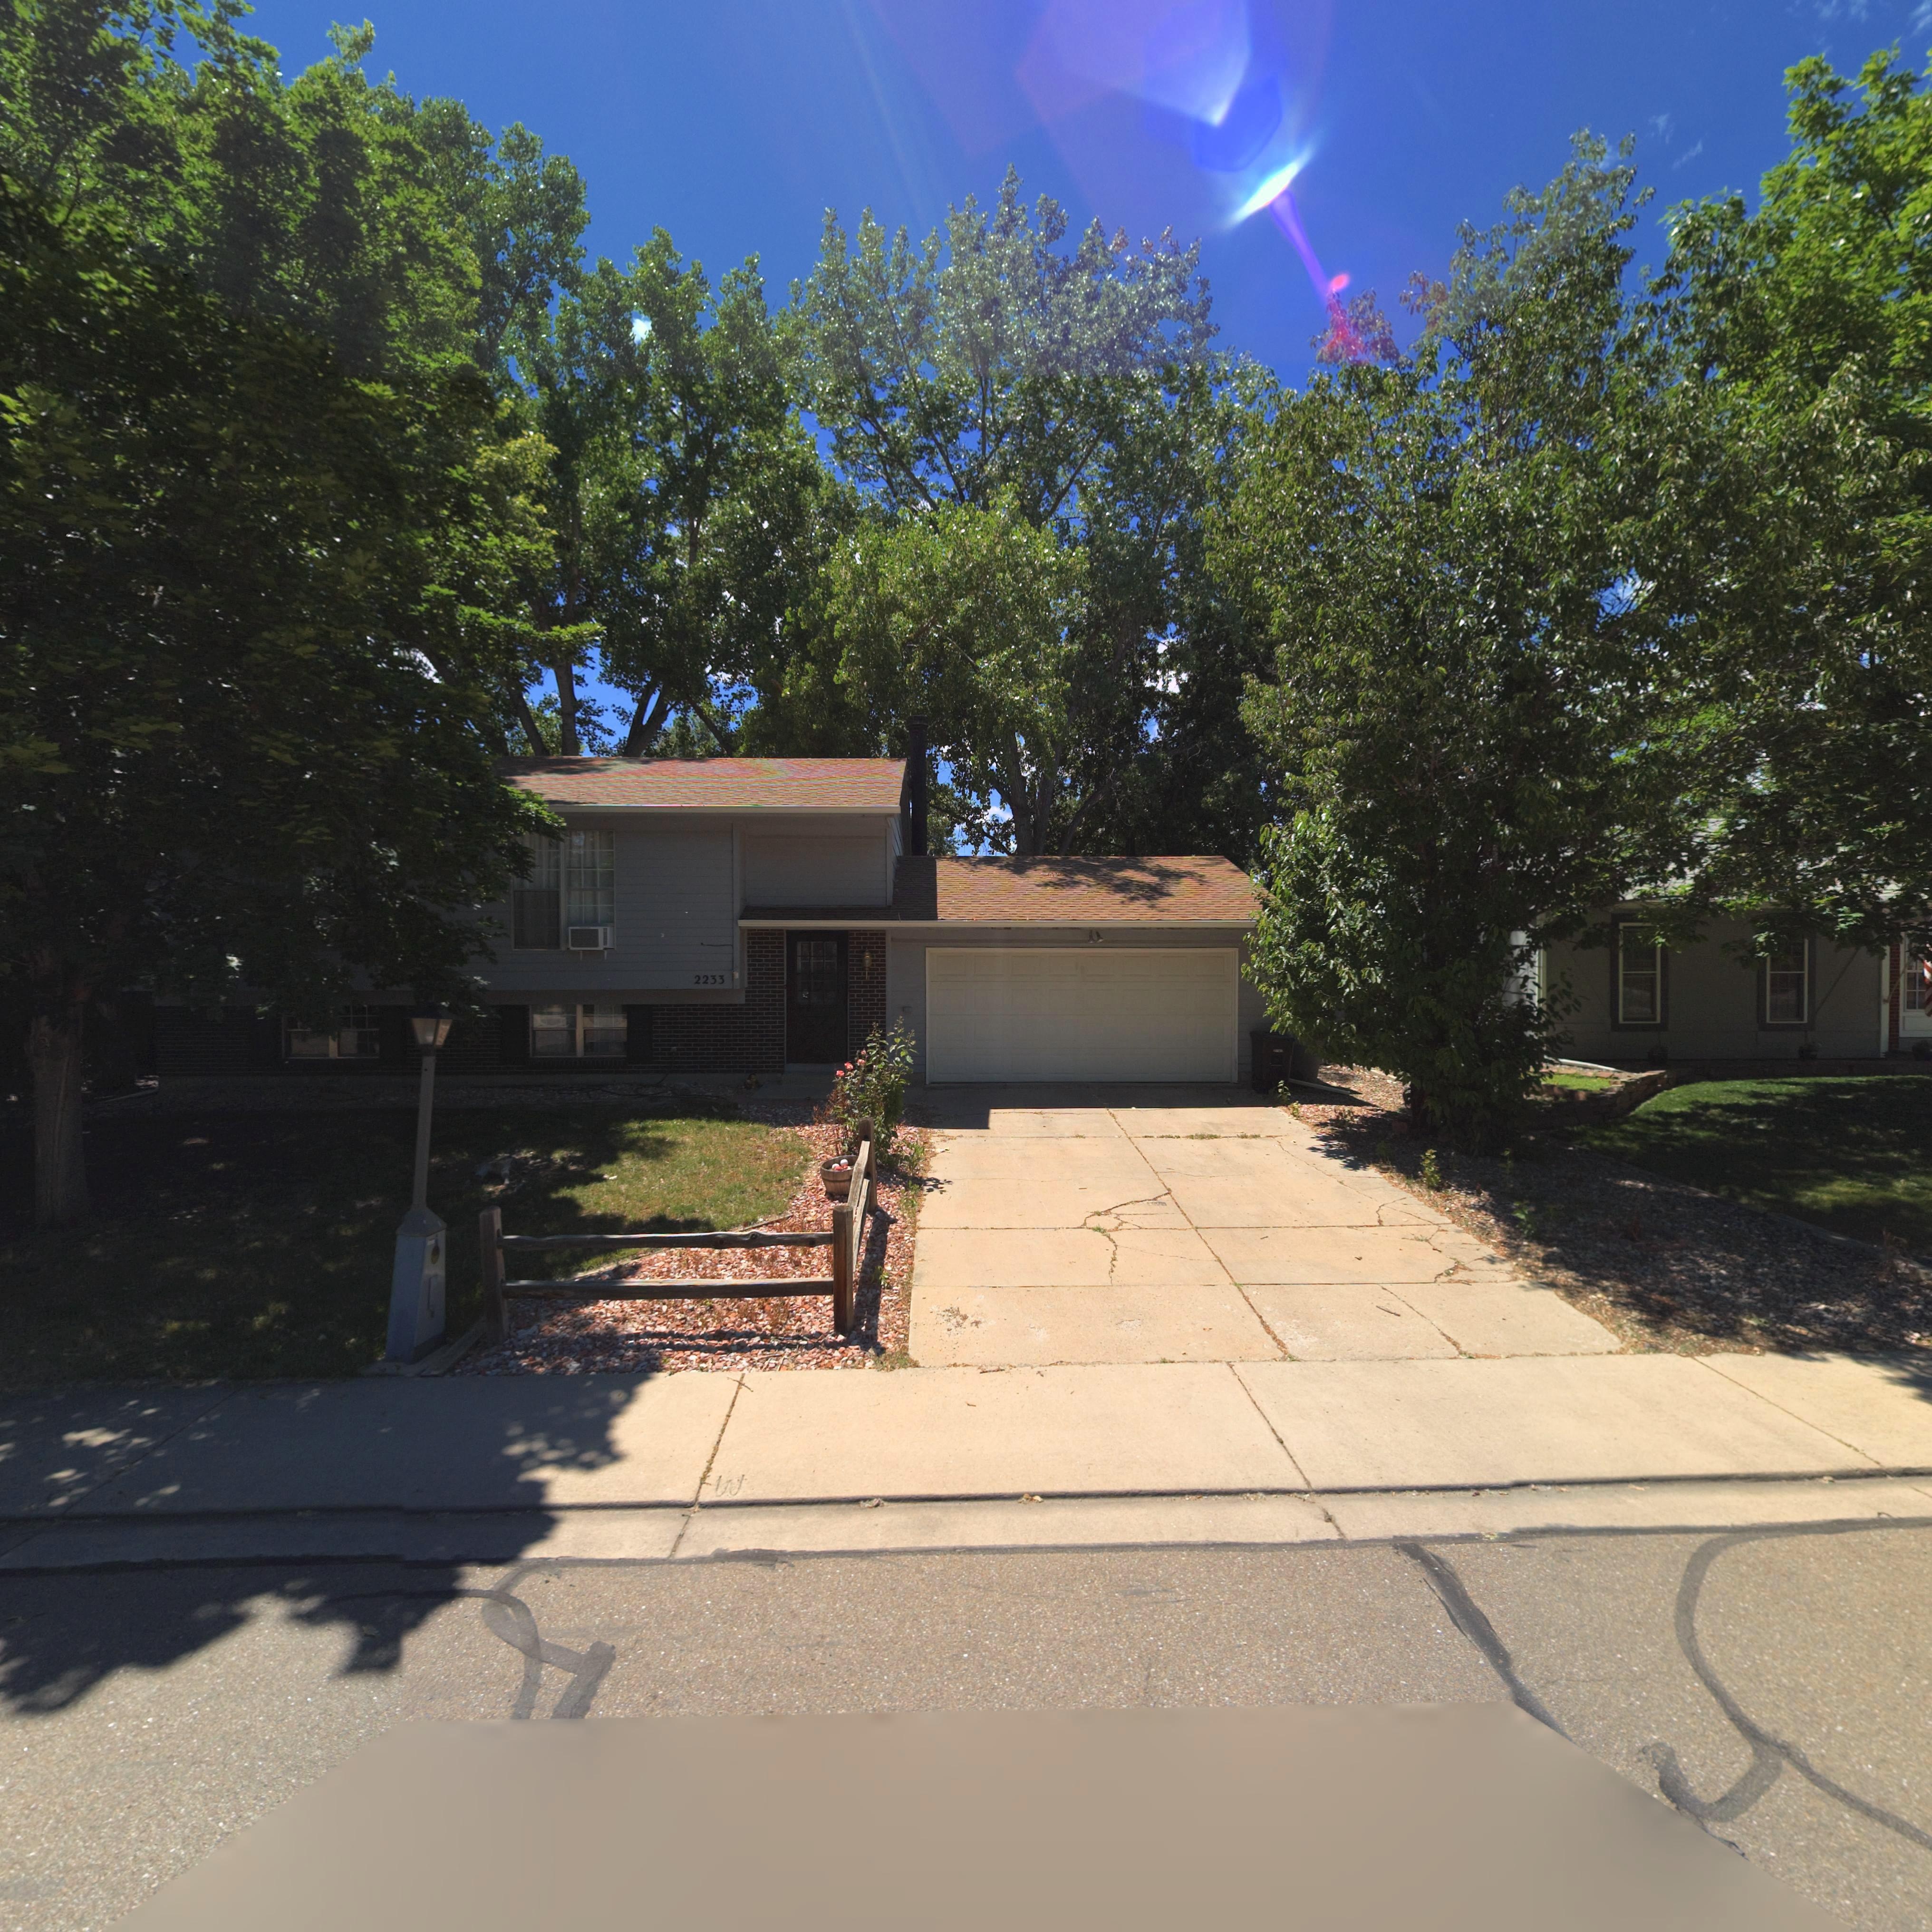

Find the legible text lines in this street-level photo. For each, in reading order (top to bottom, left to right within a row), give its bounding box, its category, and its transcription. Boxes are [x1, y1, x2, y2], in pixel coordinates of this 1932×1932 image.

[694, 975, 724, 985] StreetNumber: 2233